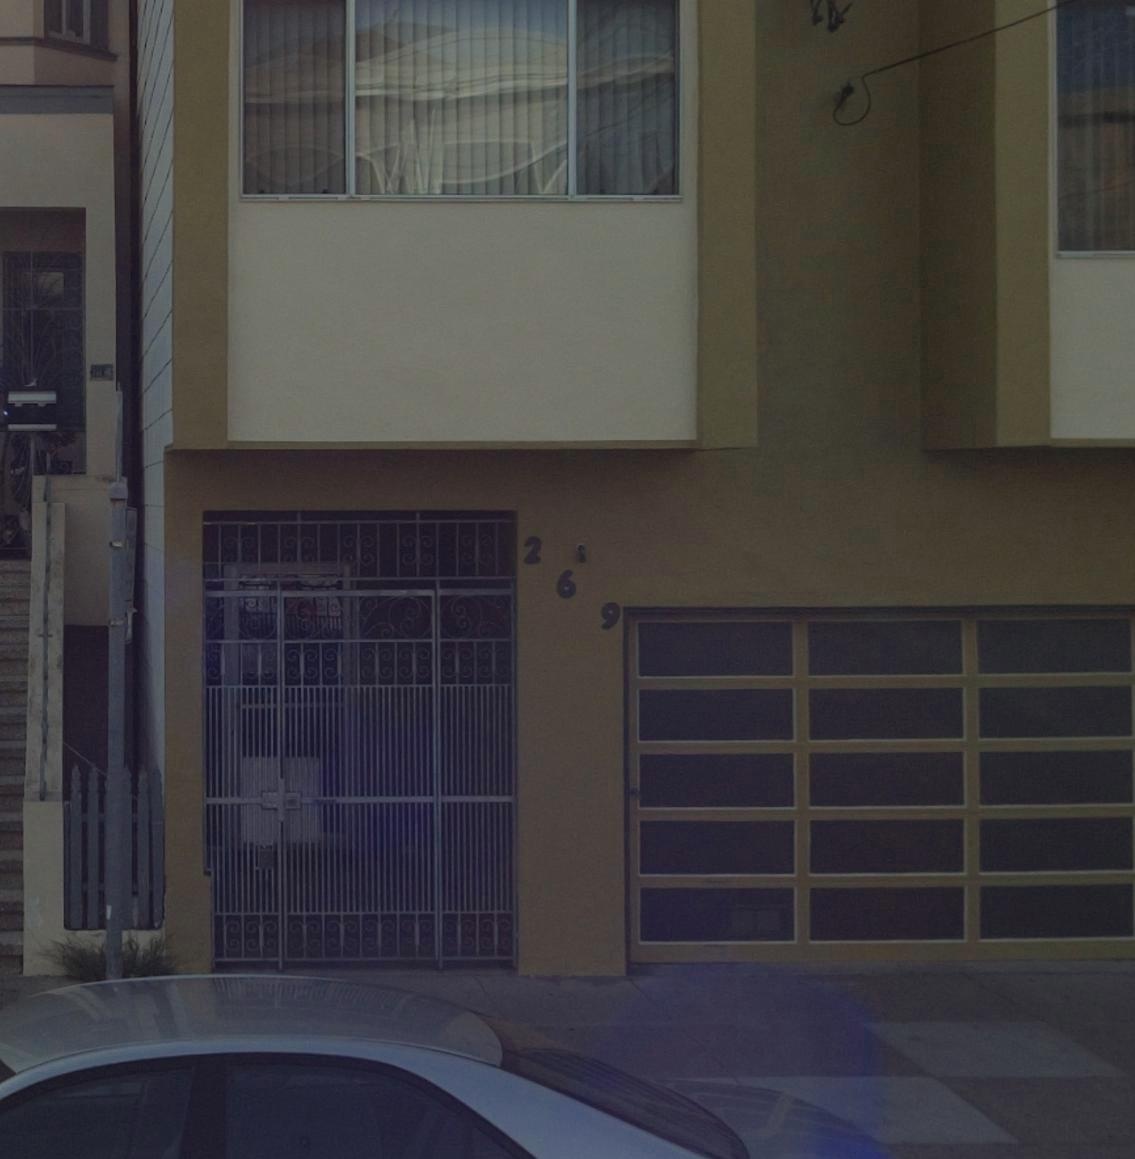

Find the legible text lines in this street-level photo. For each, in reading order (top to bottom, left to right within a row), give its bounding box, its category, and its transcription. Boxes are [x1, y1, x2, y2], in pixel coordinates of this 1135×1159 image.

[521, 533, 625, 635] StreetNumber: 269